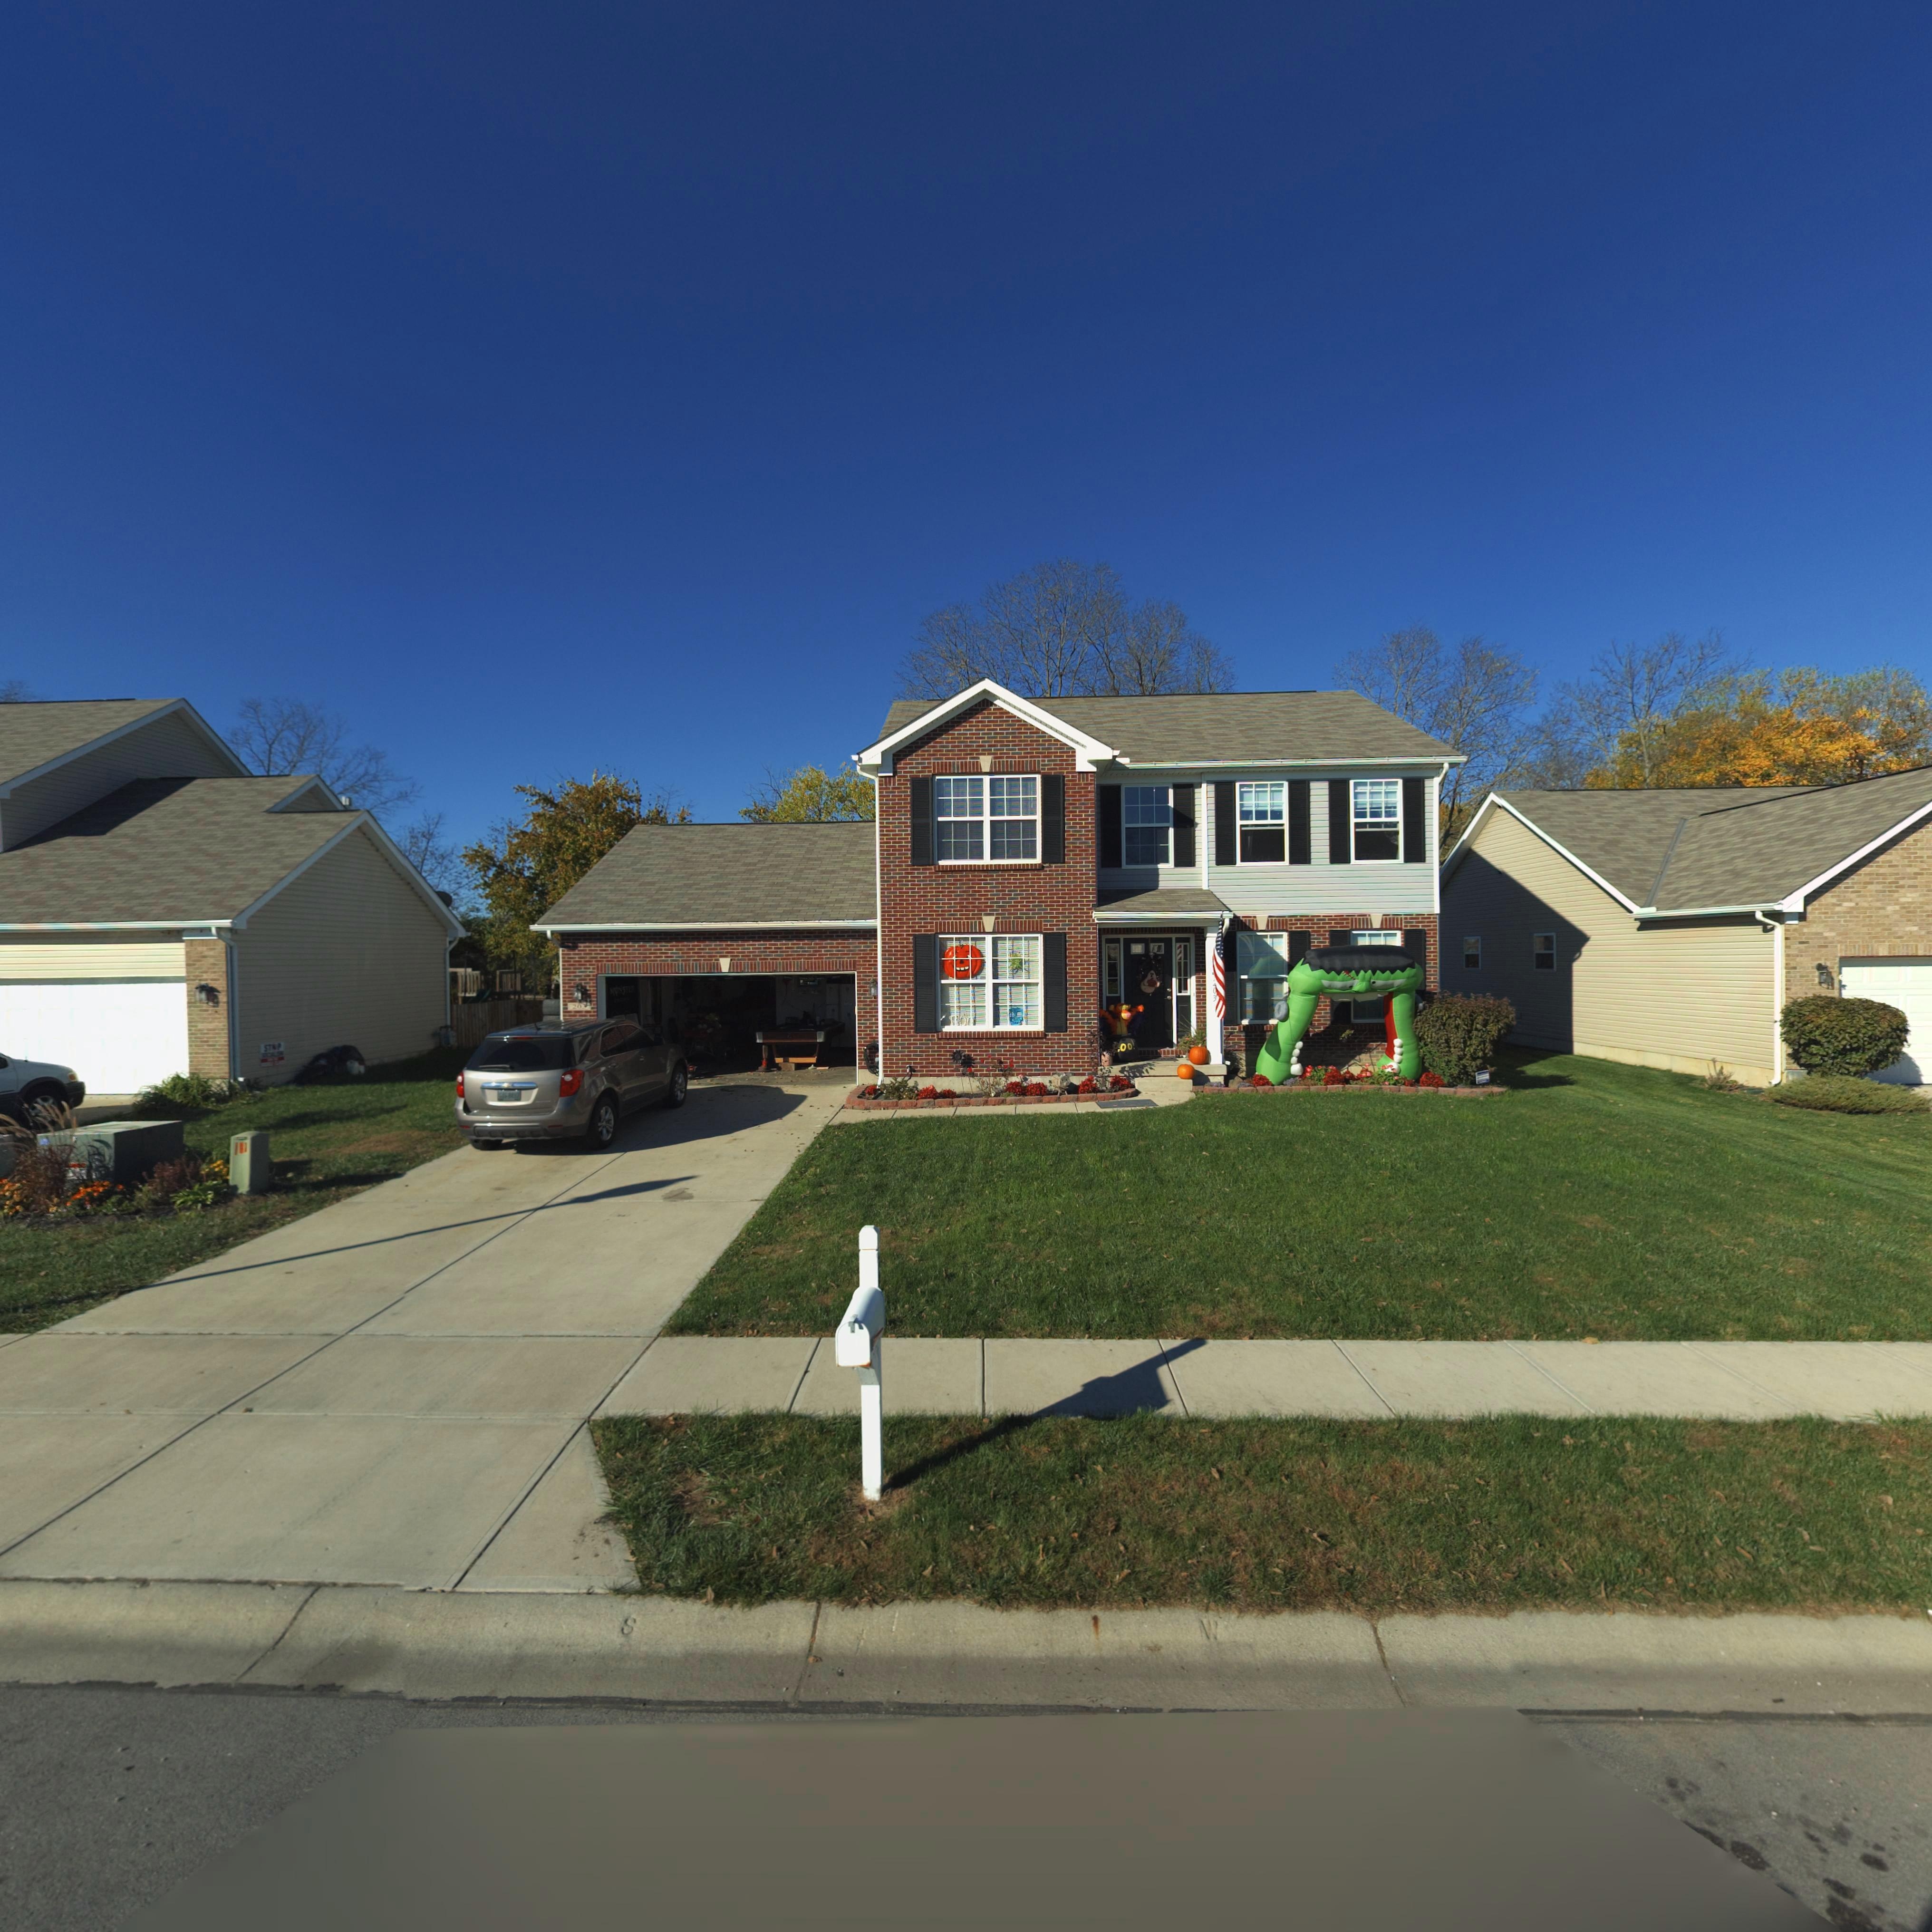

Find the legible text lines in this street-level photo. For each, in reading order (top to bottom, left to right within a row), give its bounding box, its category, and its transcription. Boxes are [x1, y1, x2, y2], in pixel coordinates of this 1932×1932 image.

[1212, 994, 1217, 1003] StreetNumber: 3
[571, 1003, 582, 1010] StreetNumber: 20